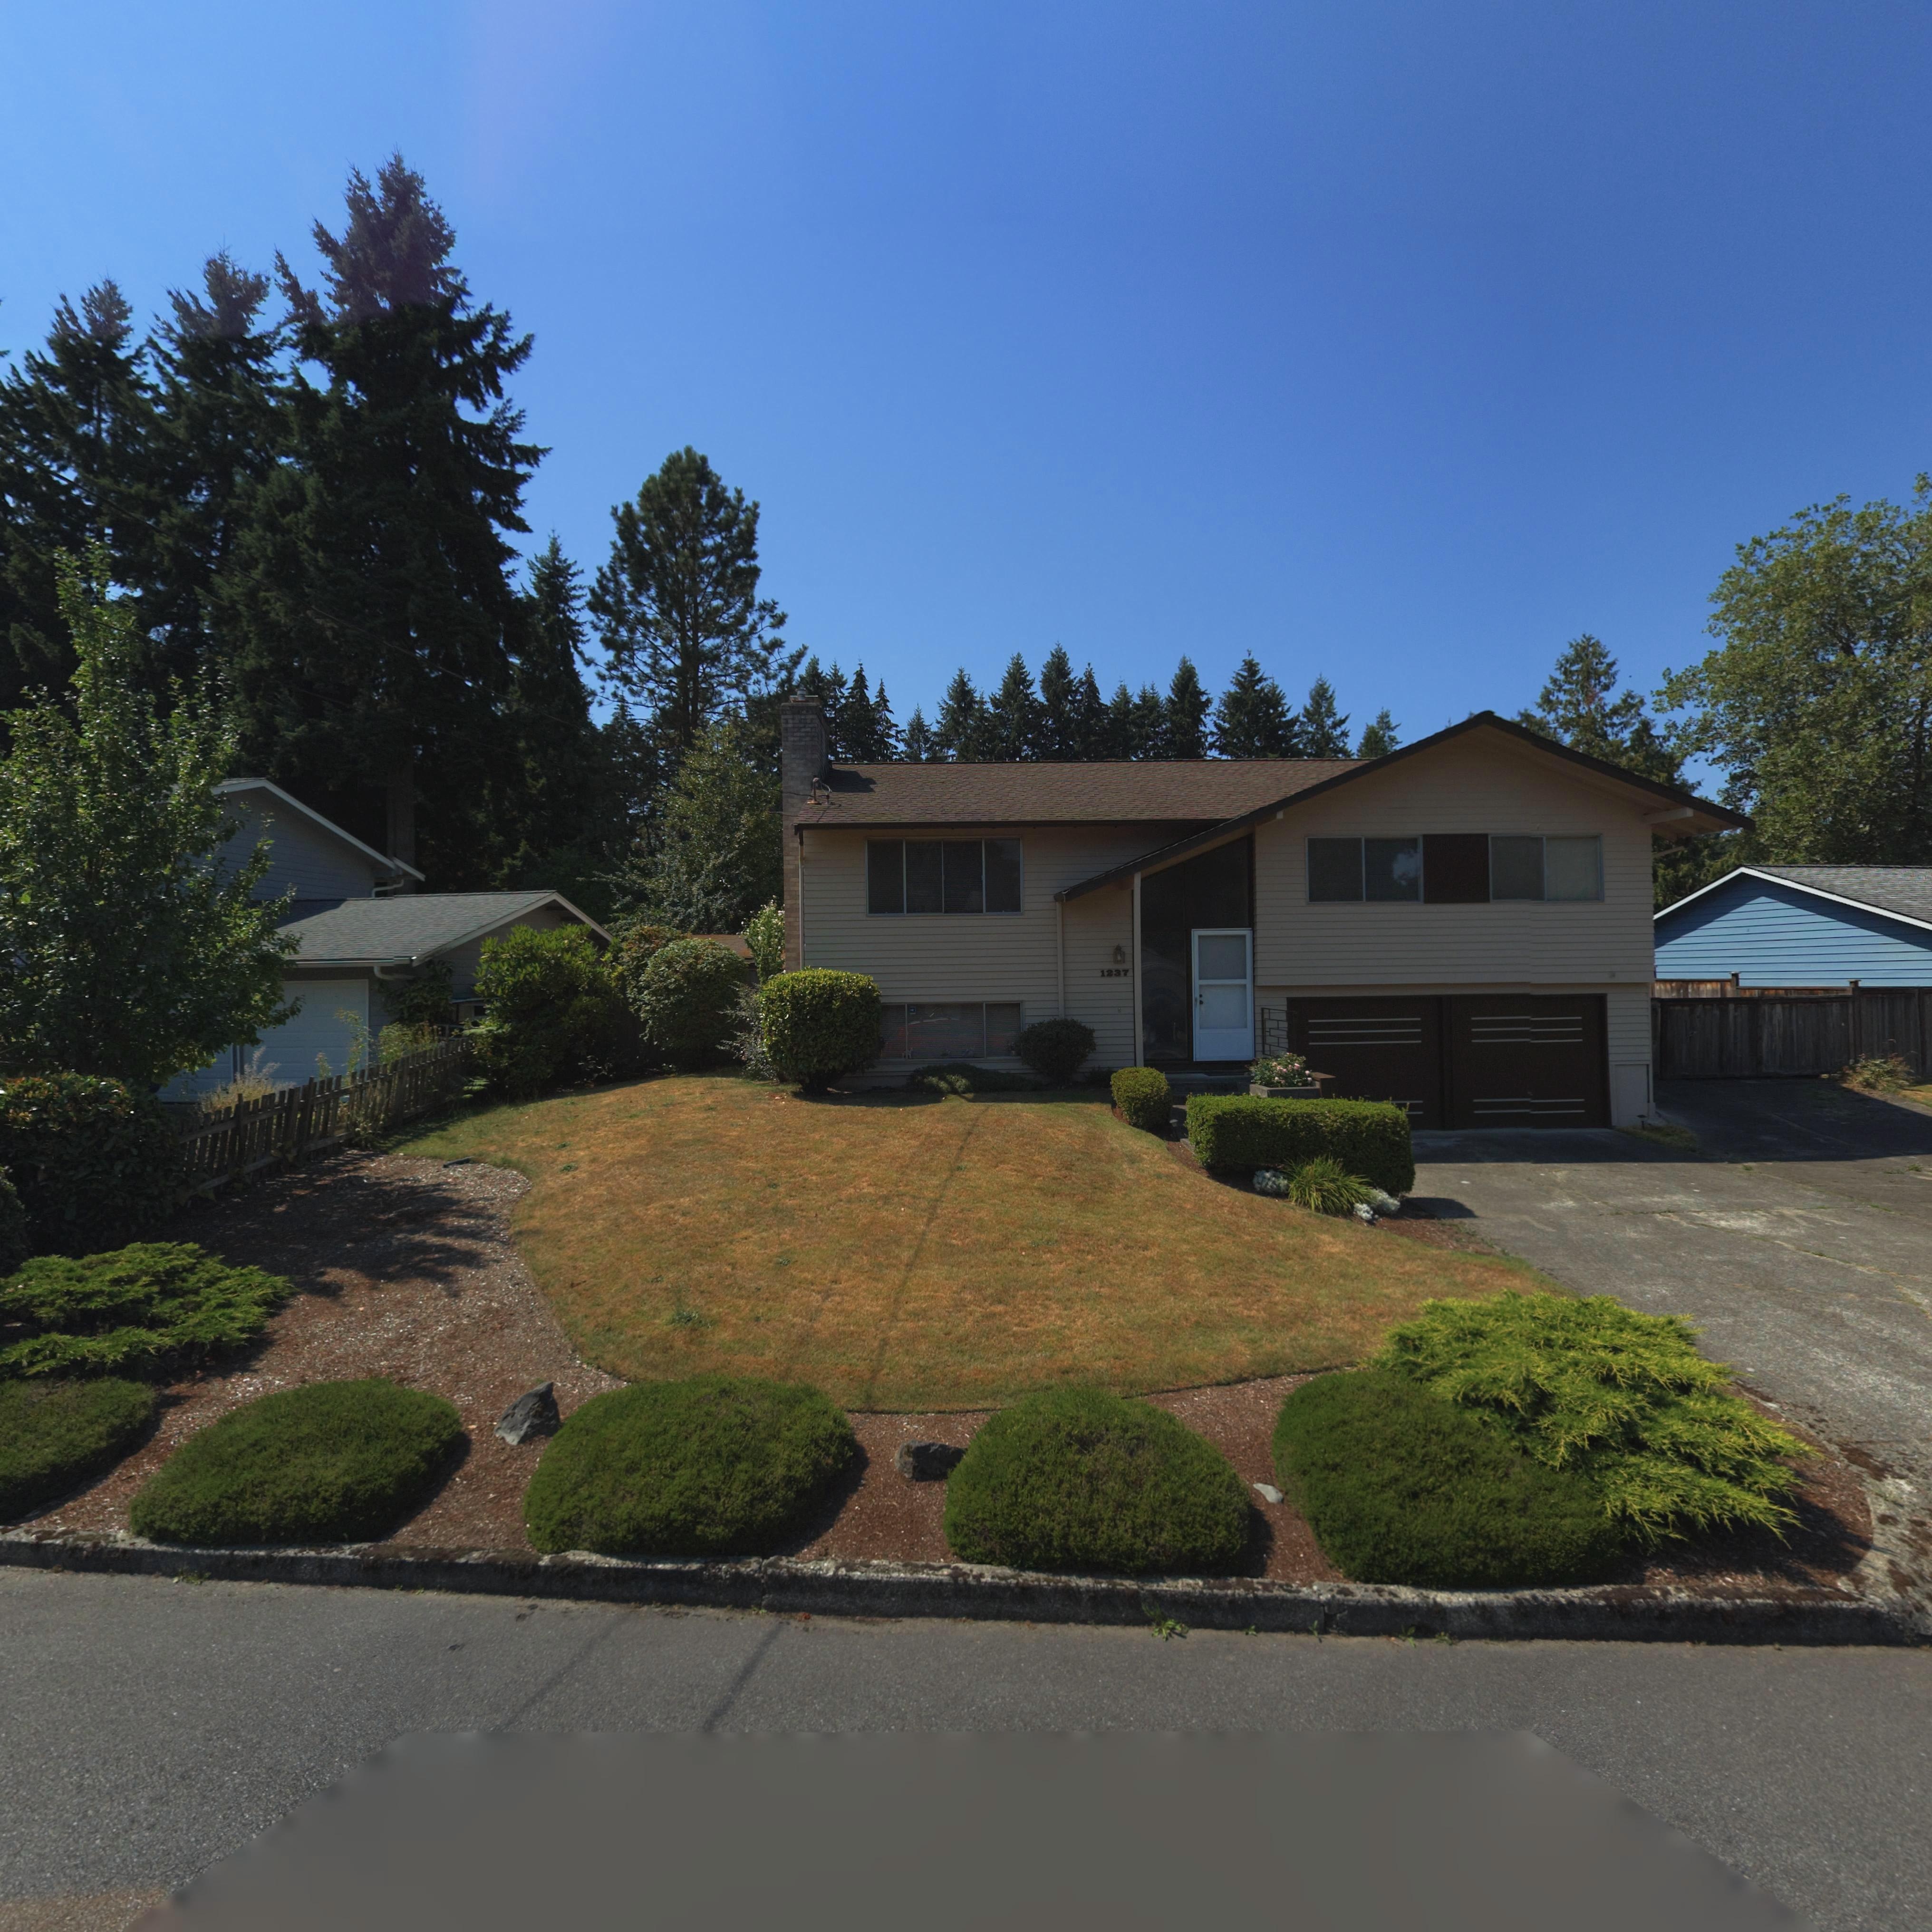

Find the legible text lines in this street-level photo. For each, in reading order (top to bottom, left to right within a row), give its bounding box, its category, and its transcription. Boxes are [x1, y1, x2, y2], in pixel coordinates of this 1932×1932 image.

[1099, 968, 1130, 977] StreetNumber: 1237